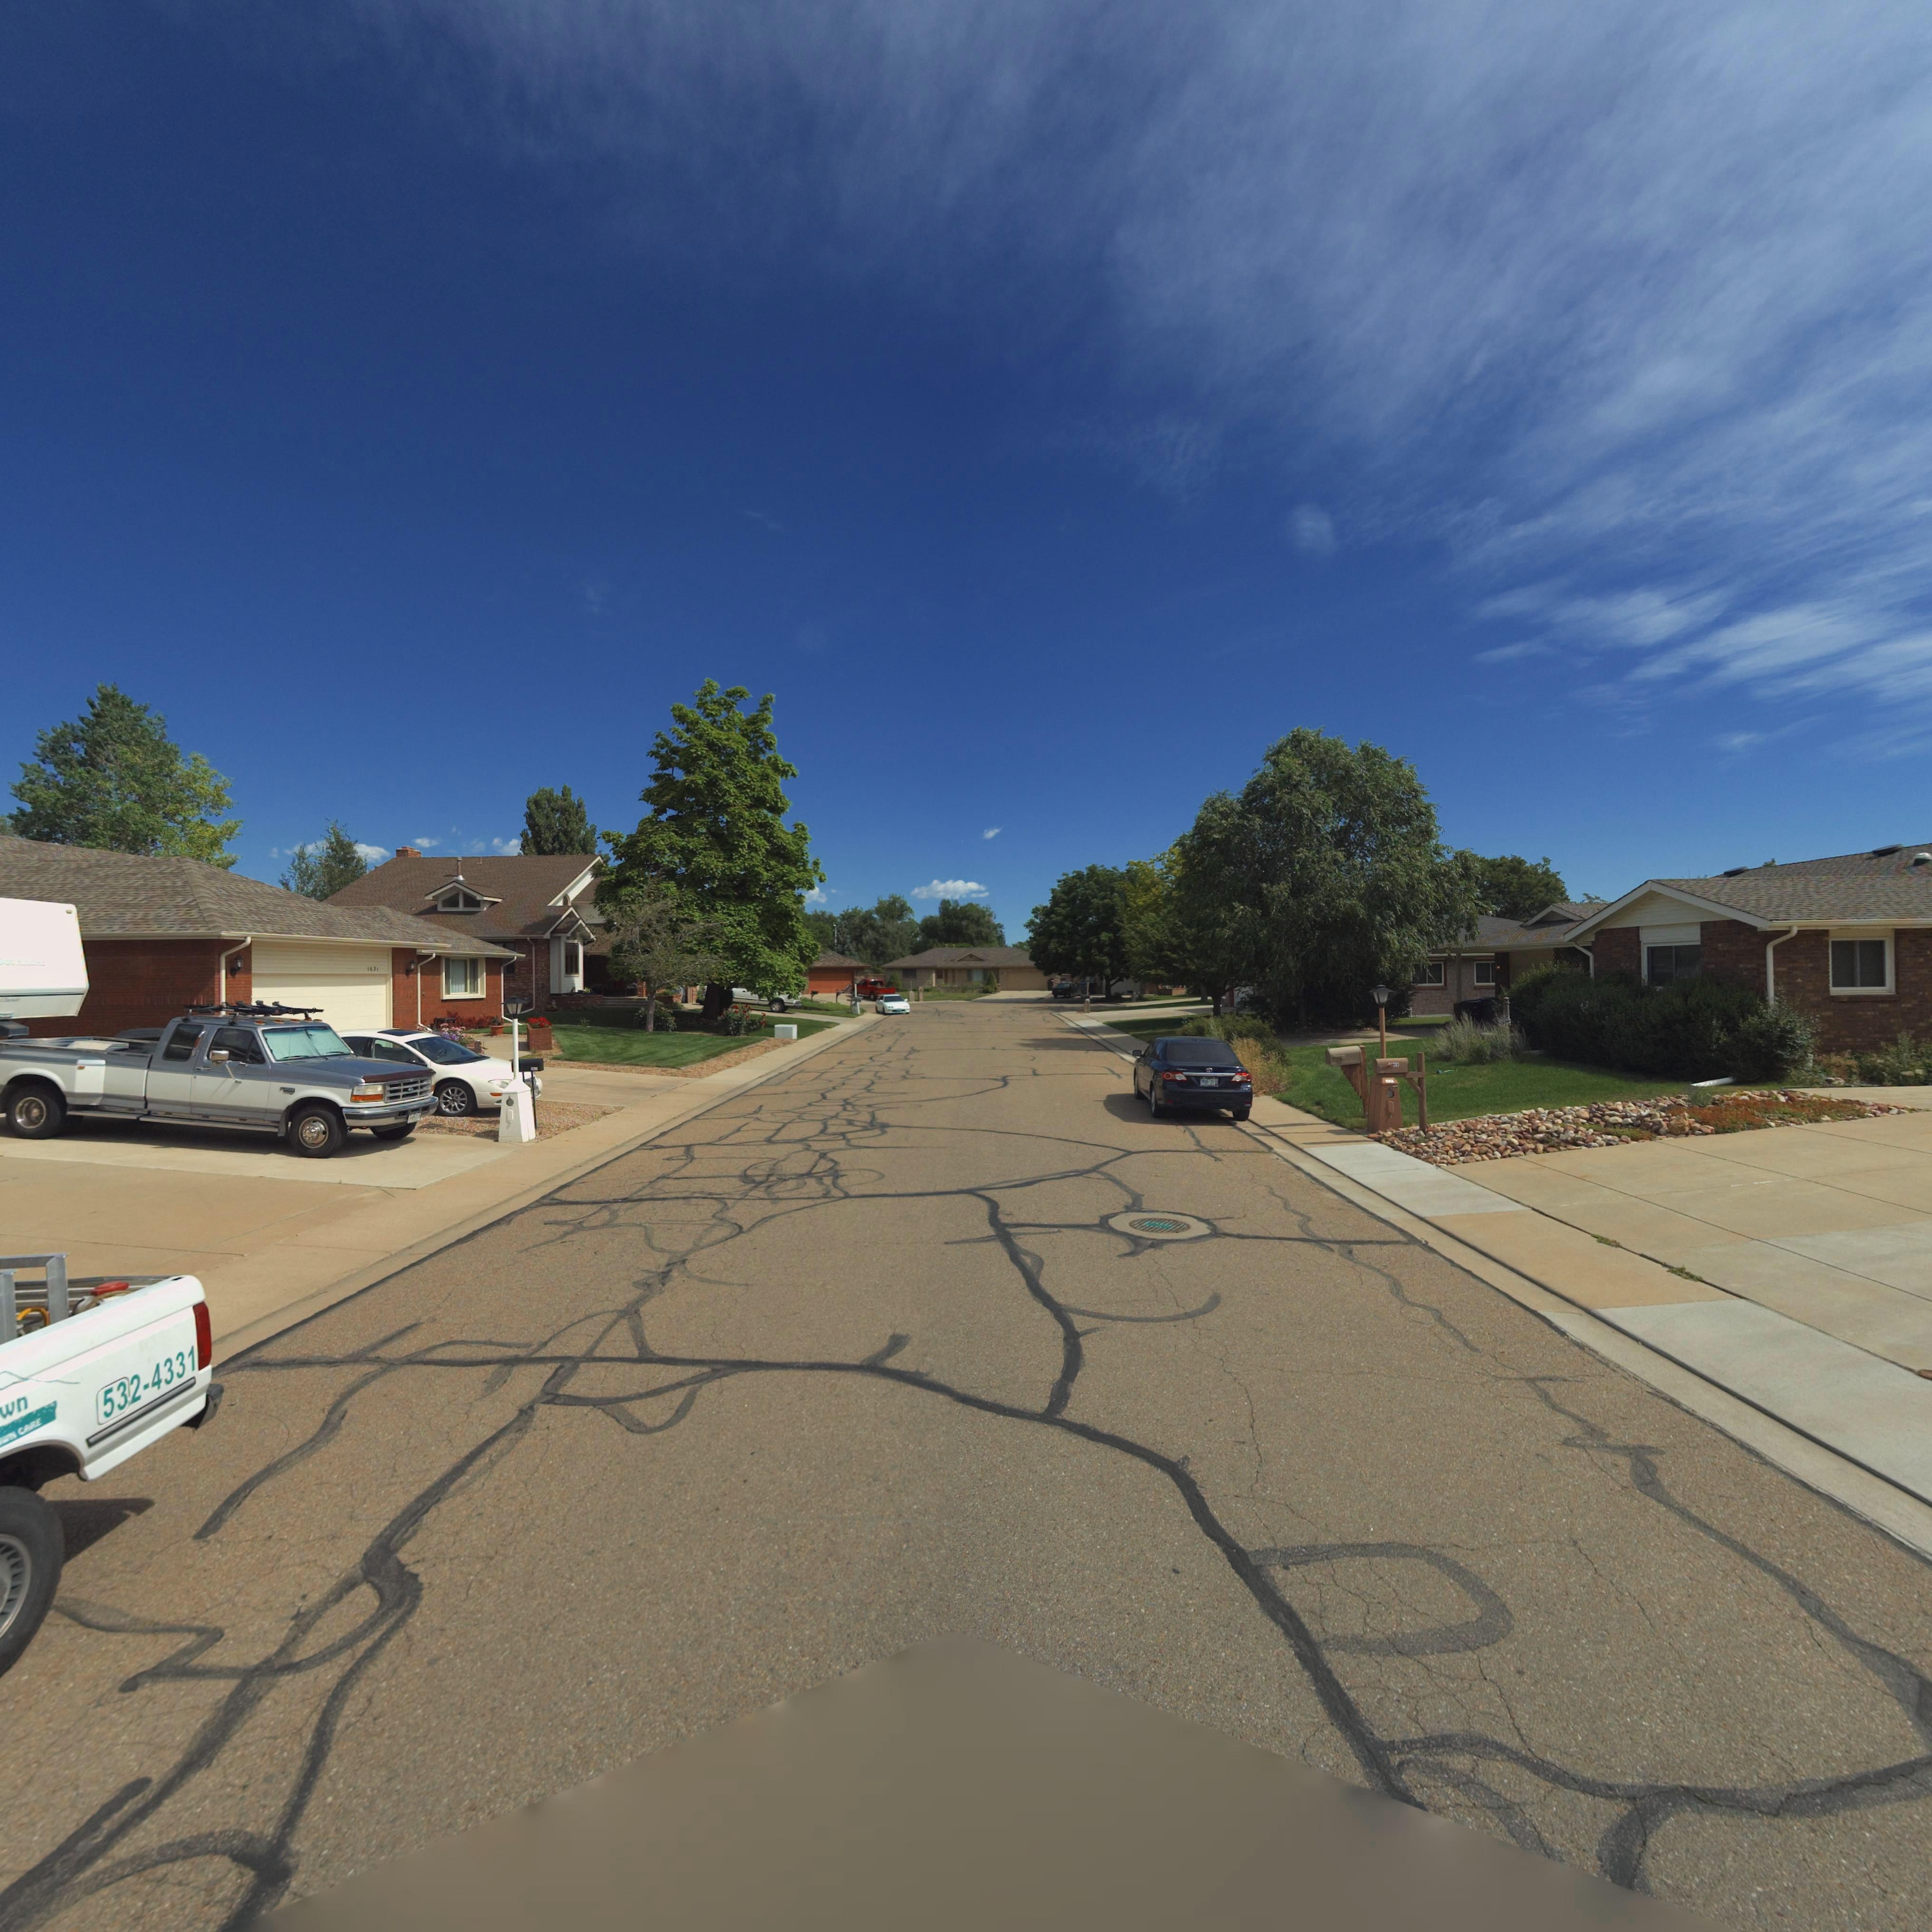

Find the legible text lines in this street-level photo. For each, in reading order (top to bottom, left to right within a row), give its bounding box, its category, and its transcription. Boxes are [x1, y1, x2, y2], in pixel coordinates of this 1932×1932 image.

[367, 966, 379, 971] StreetNumber: 1621